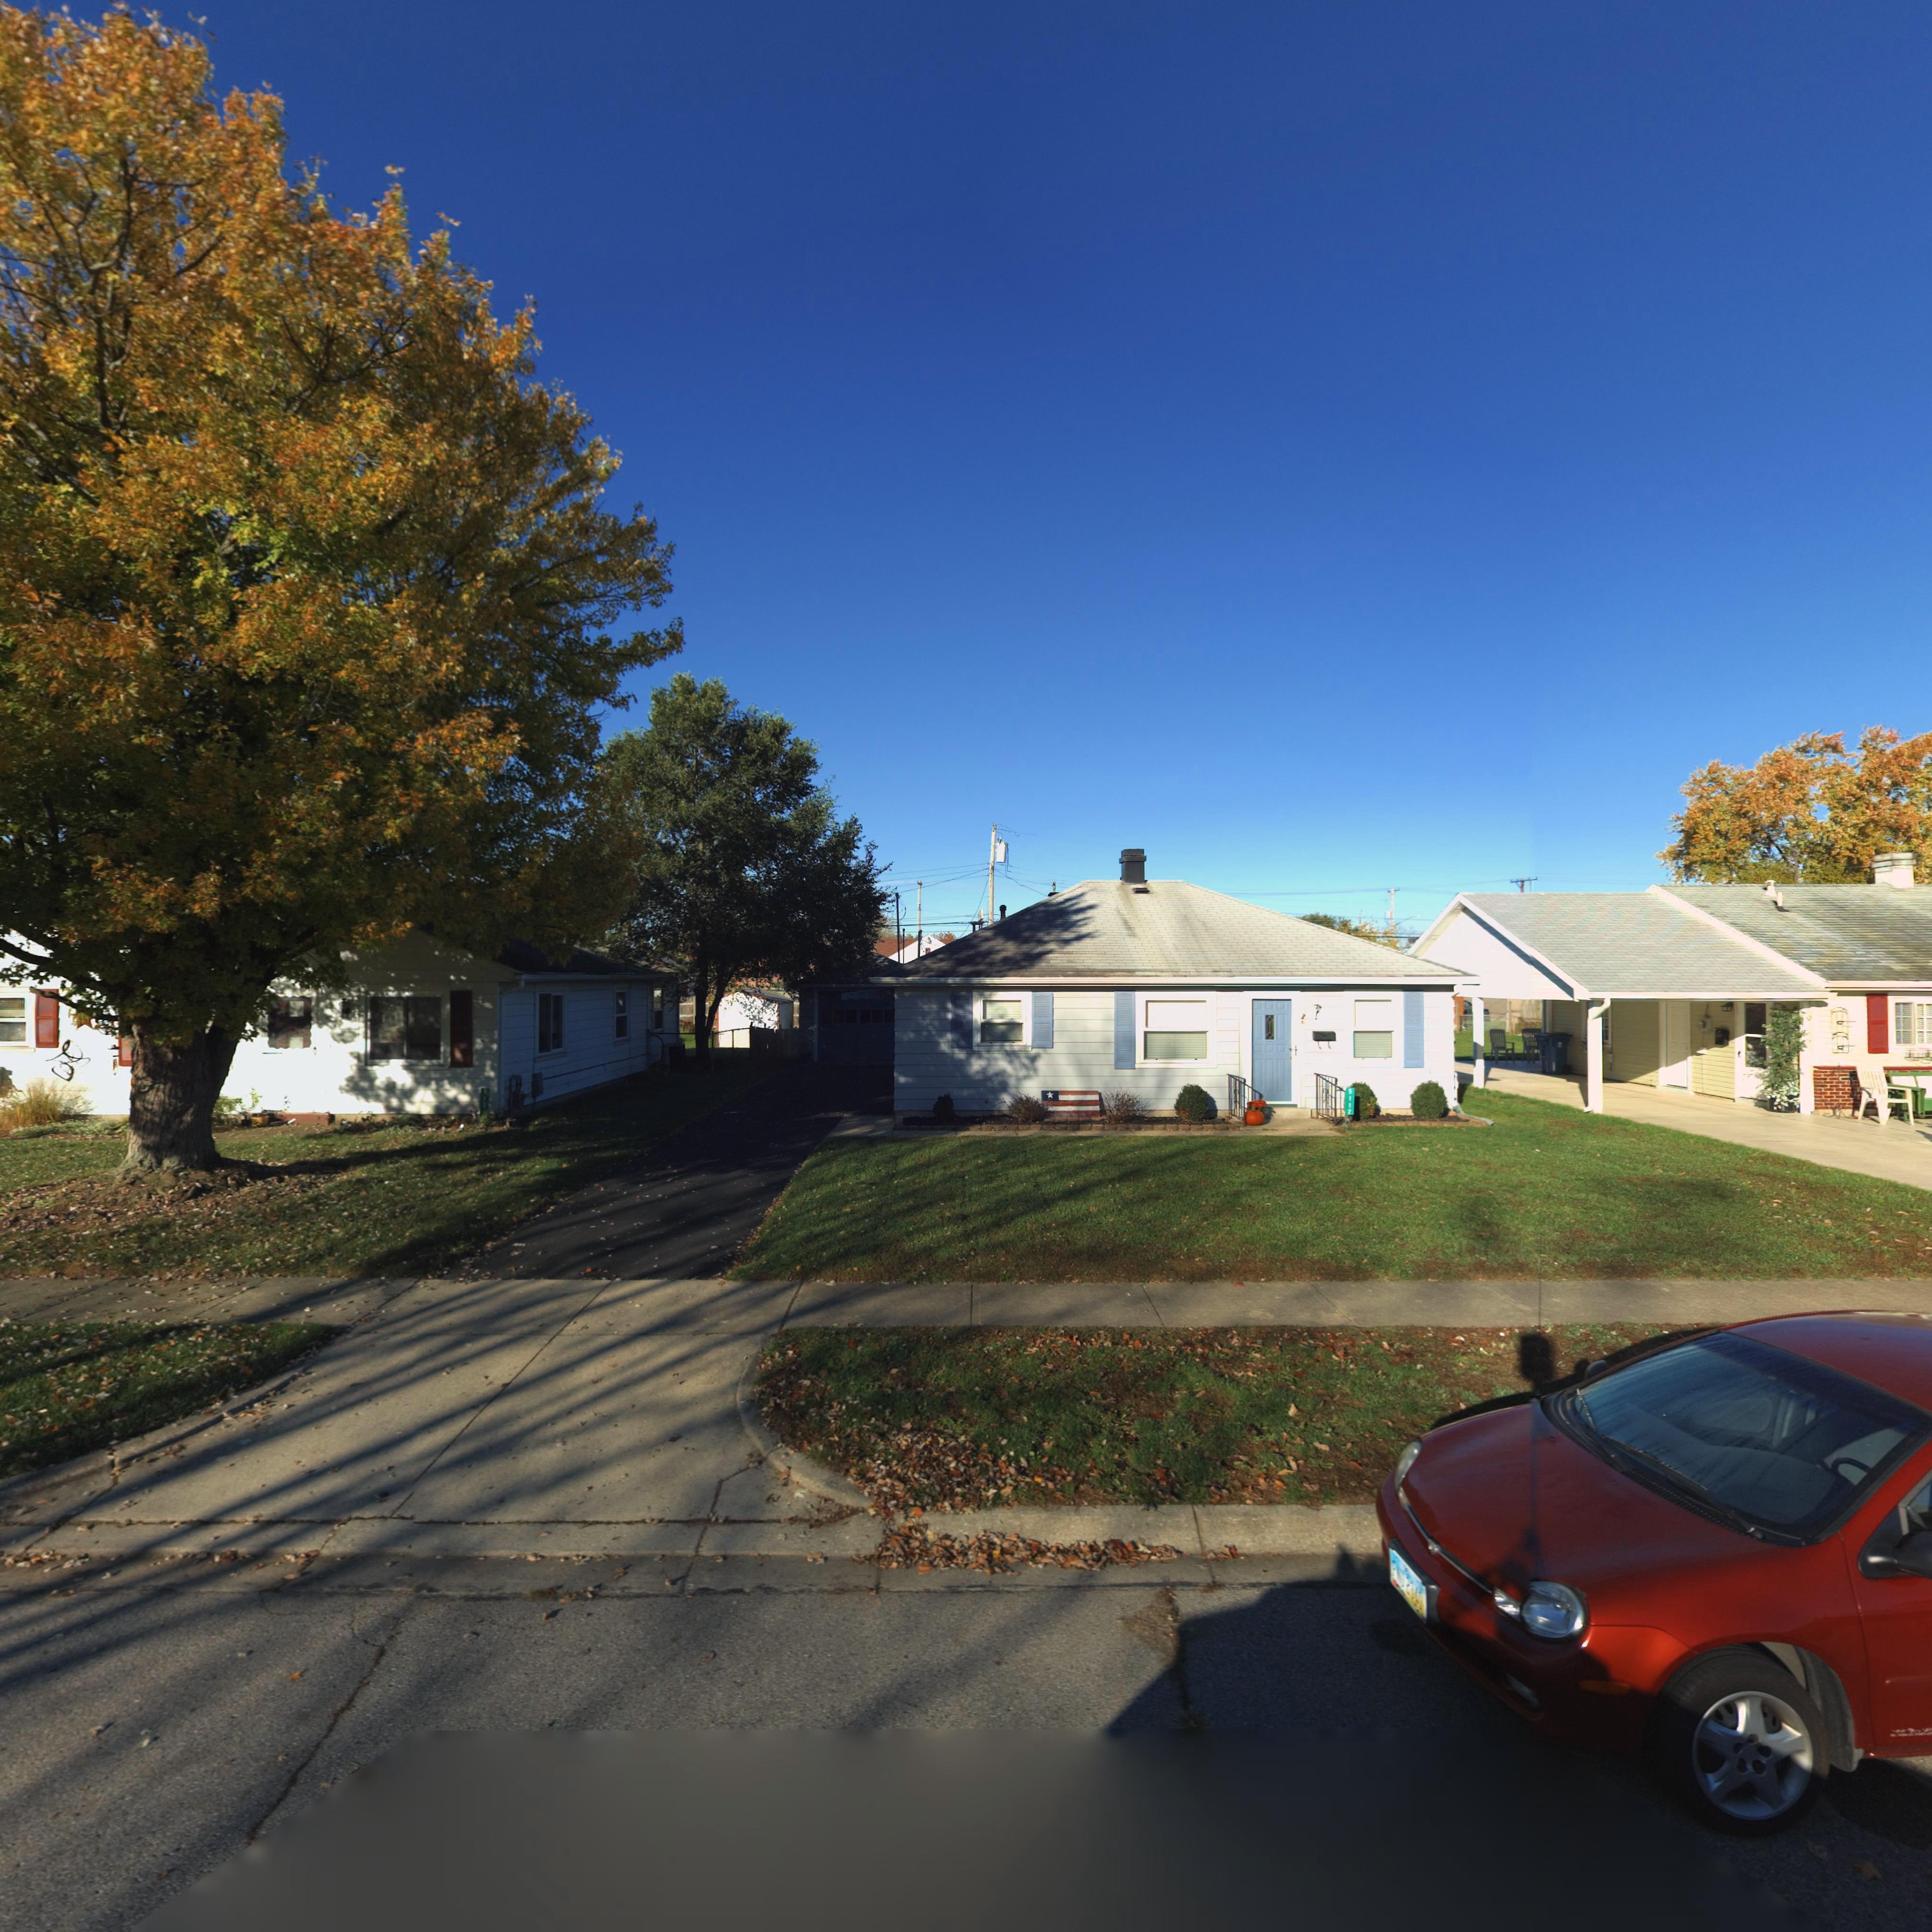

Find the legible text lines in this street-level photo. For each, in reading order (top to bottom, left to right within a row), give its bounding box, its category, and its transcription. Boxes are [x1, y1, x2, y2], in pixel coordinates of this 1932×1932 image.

[482, 1087, 487, 1109] StreetNumber: 512
[1347, 1088, 1352, 1115] StreetNumber: 5117